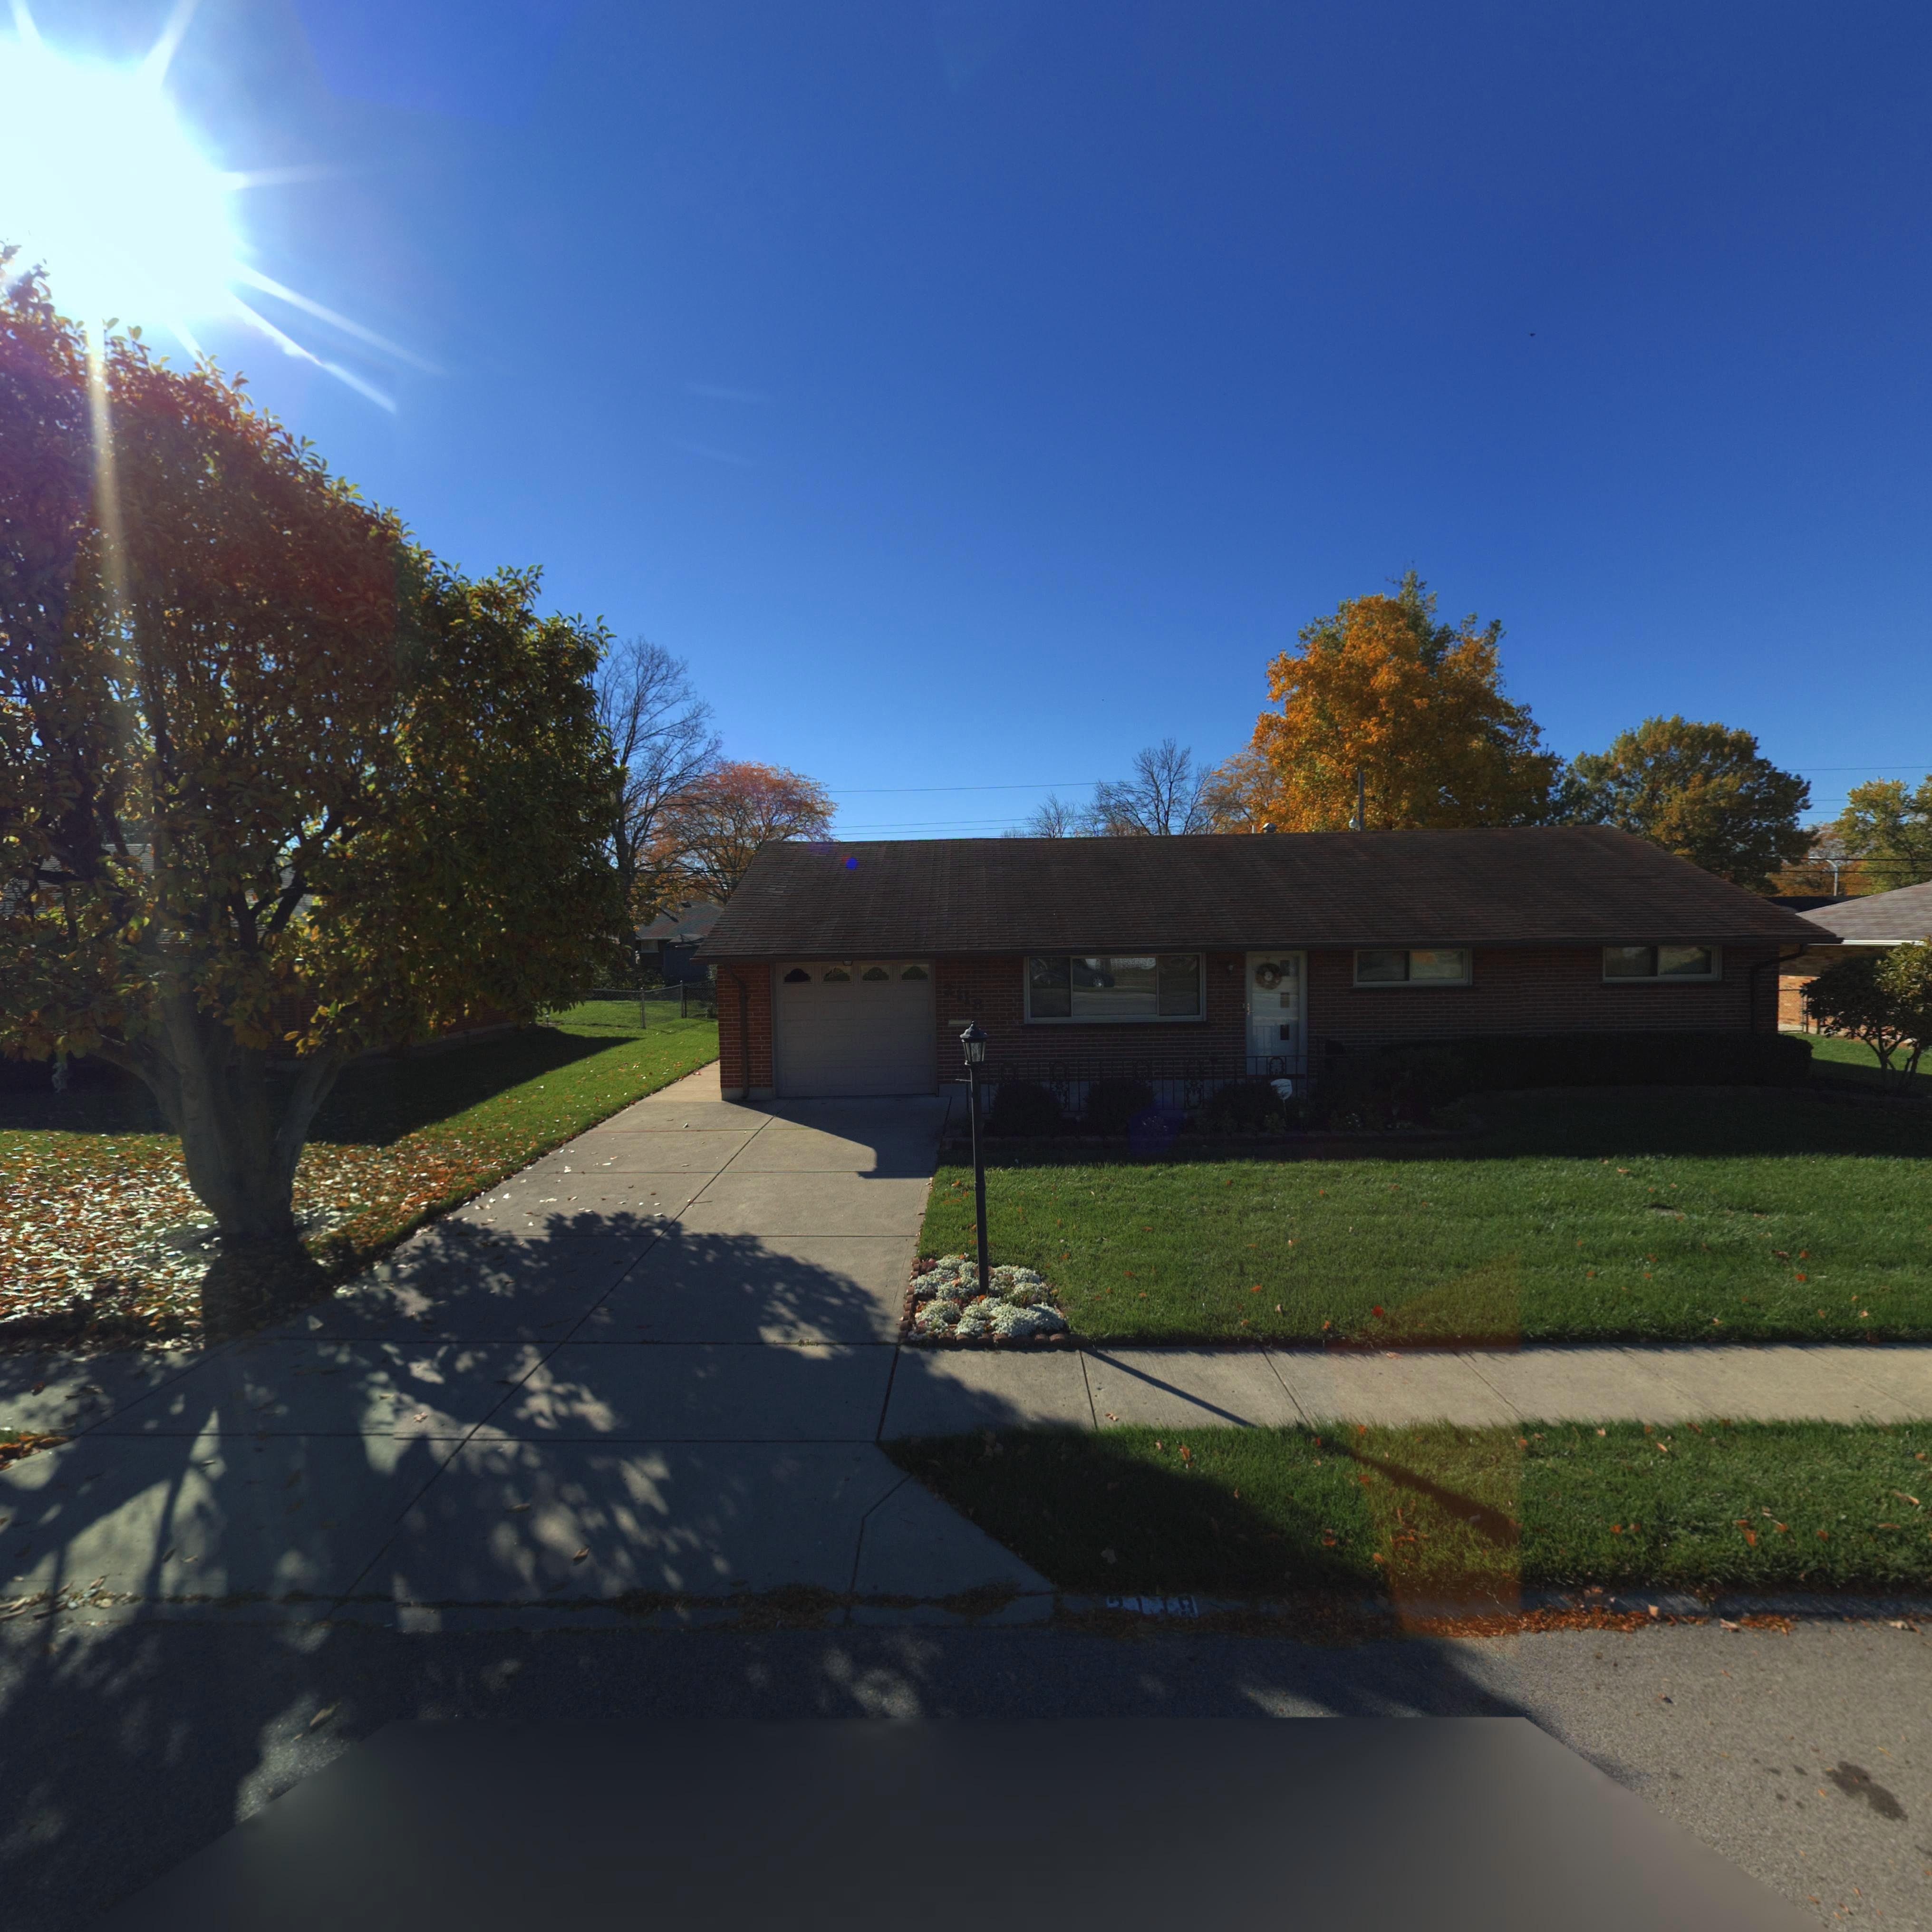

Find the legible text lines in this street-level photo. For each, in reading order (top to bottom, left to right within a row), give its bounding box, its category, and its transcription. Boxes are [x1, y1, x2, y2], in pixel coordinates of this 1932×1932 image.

[942, 982, 984, 1011] StreetNumber: 2118
[1176, 1594, 1198, 1619] StreetNumber: 9